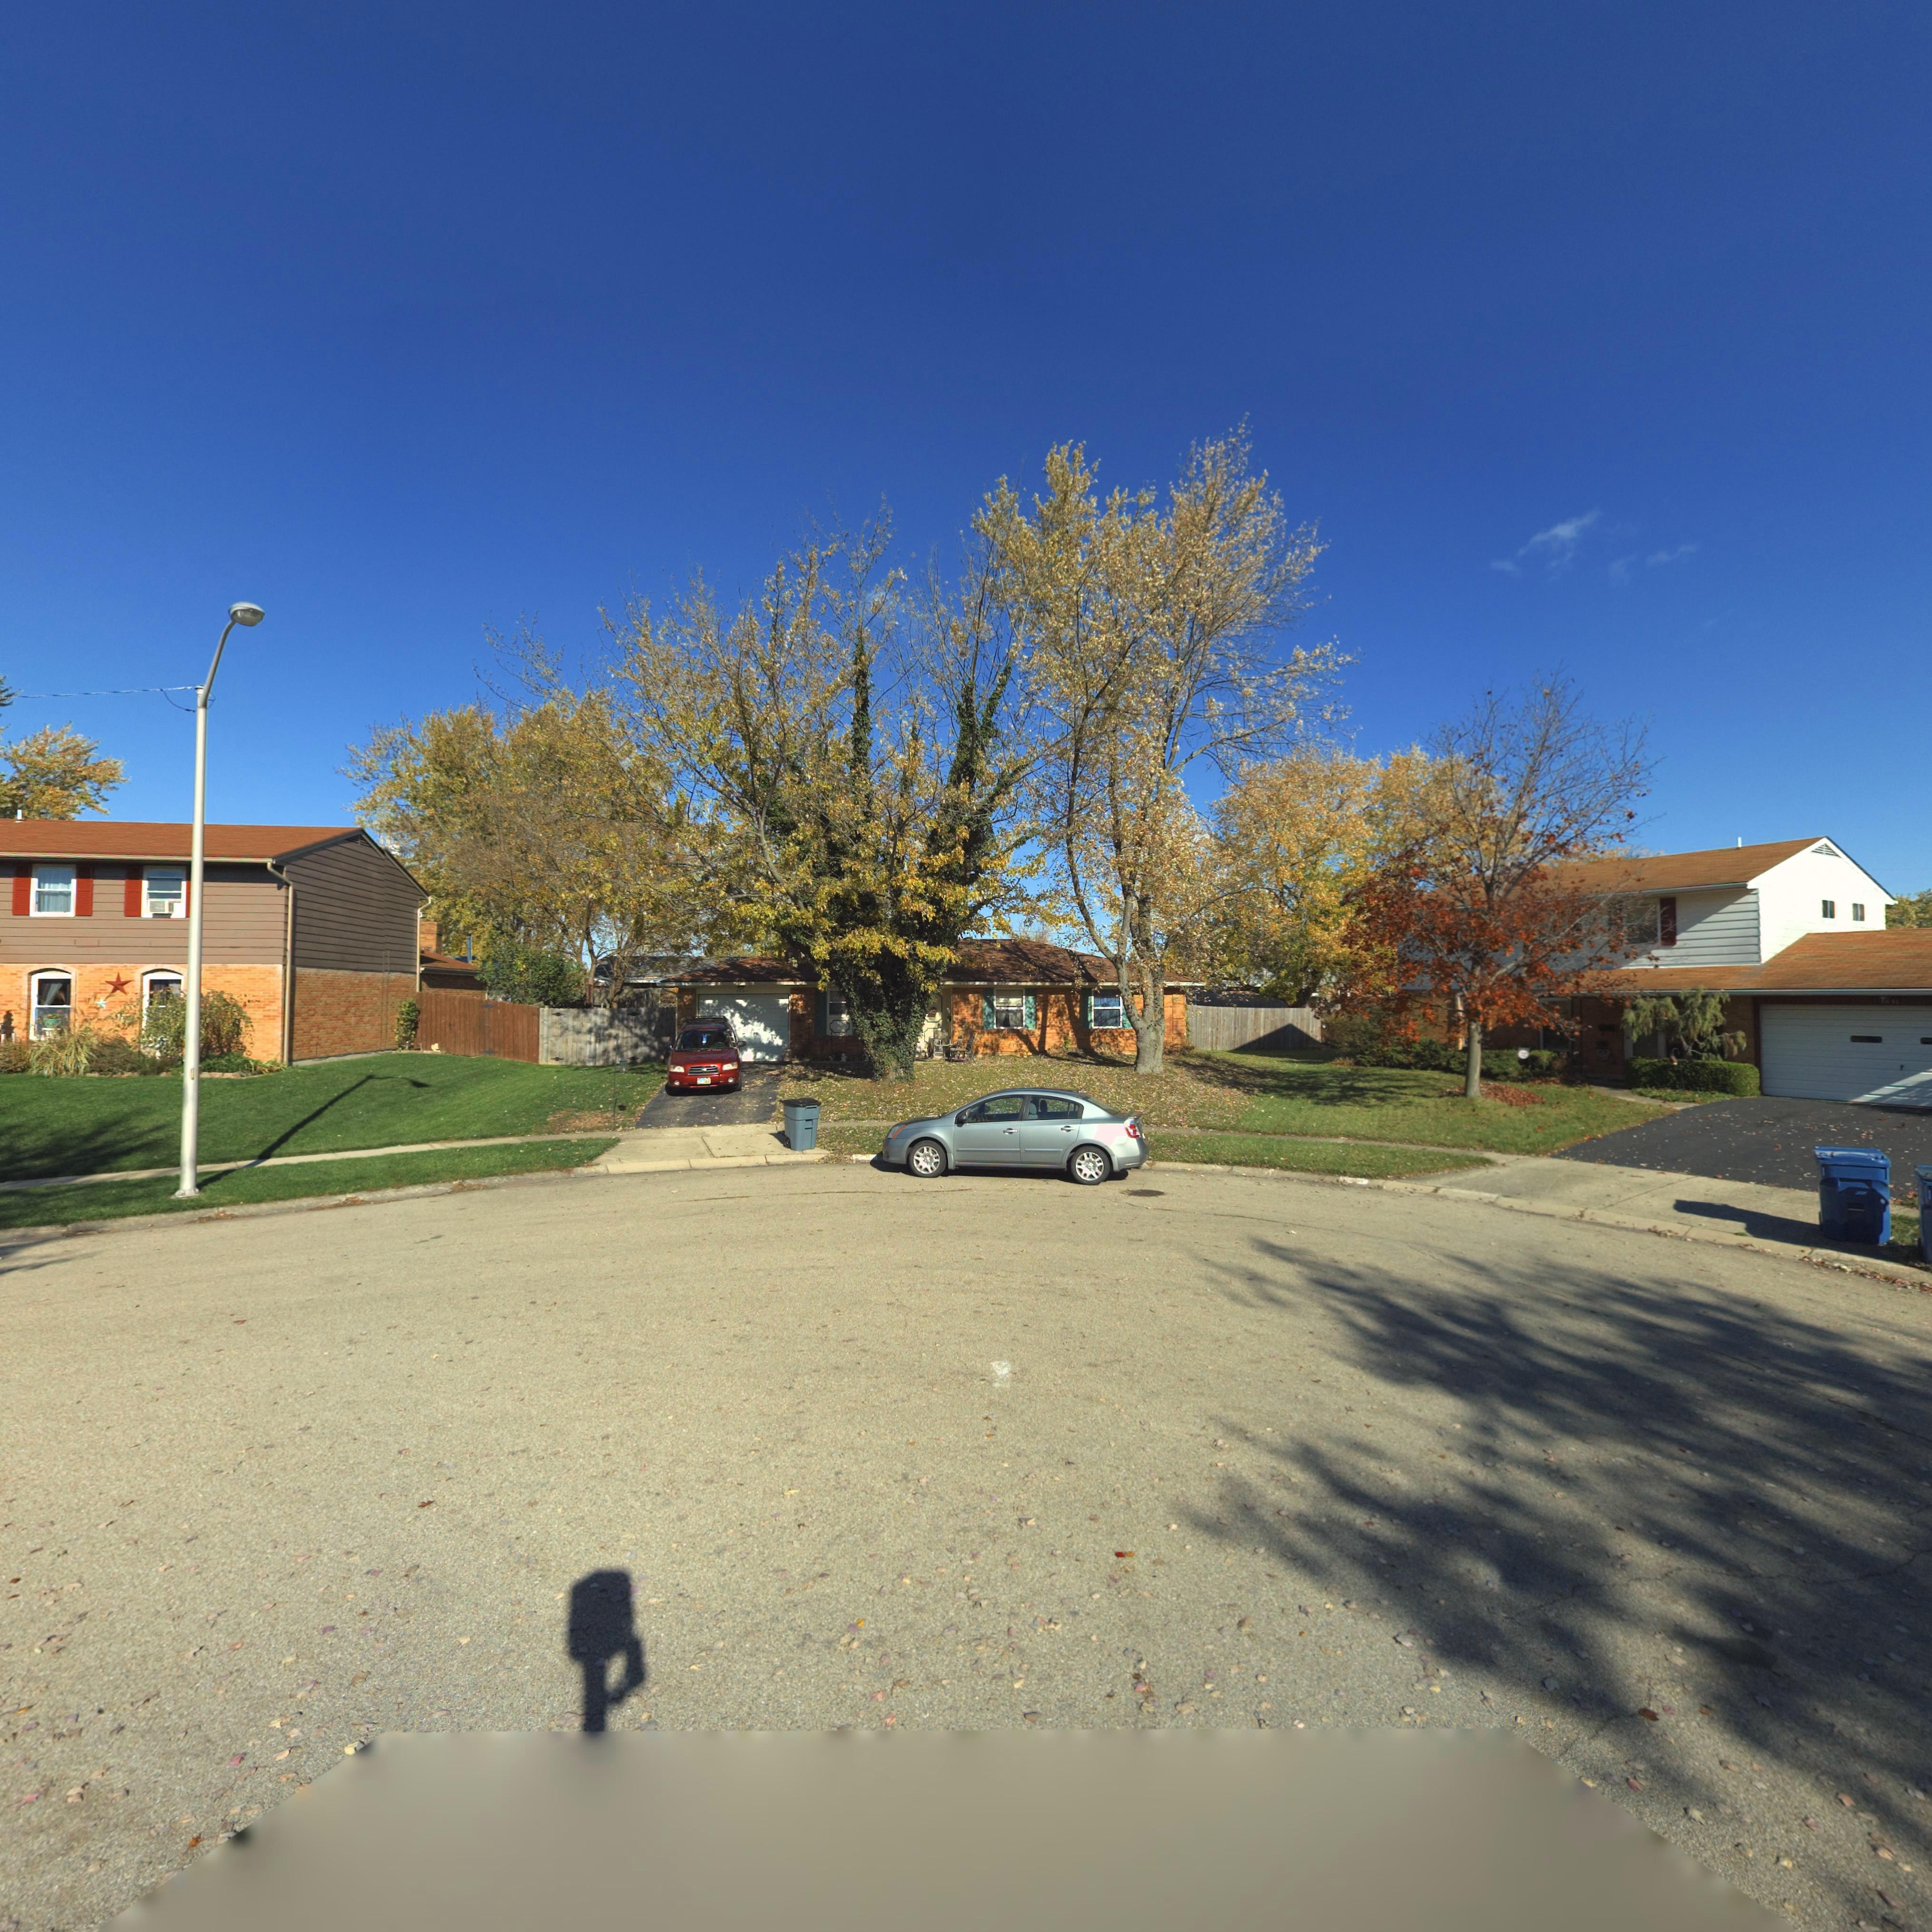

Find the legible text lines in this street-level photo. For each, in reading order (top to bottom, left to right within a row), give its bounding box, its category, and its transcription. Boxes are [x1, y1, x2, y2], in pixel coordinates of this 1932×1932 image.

[735, 989, 748, 993] StreetNumber: 7021
[1878, 996, 1900, 1005] StreetNumber: 703*